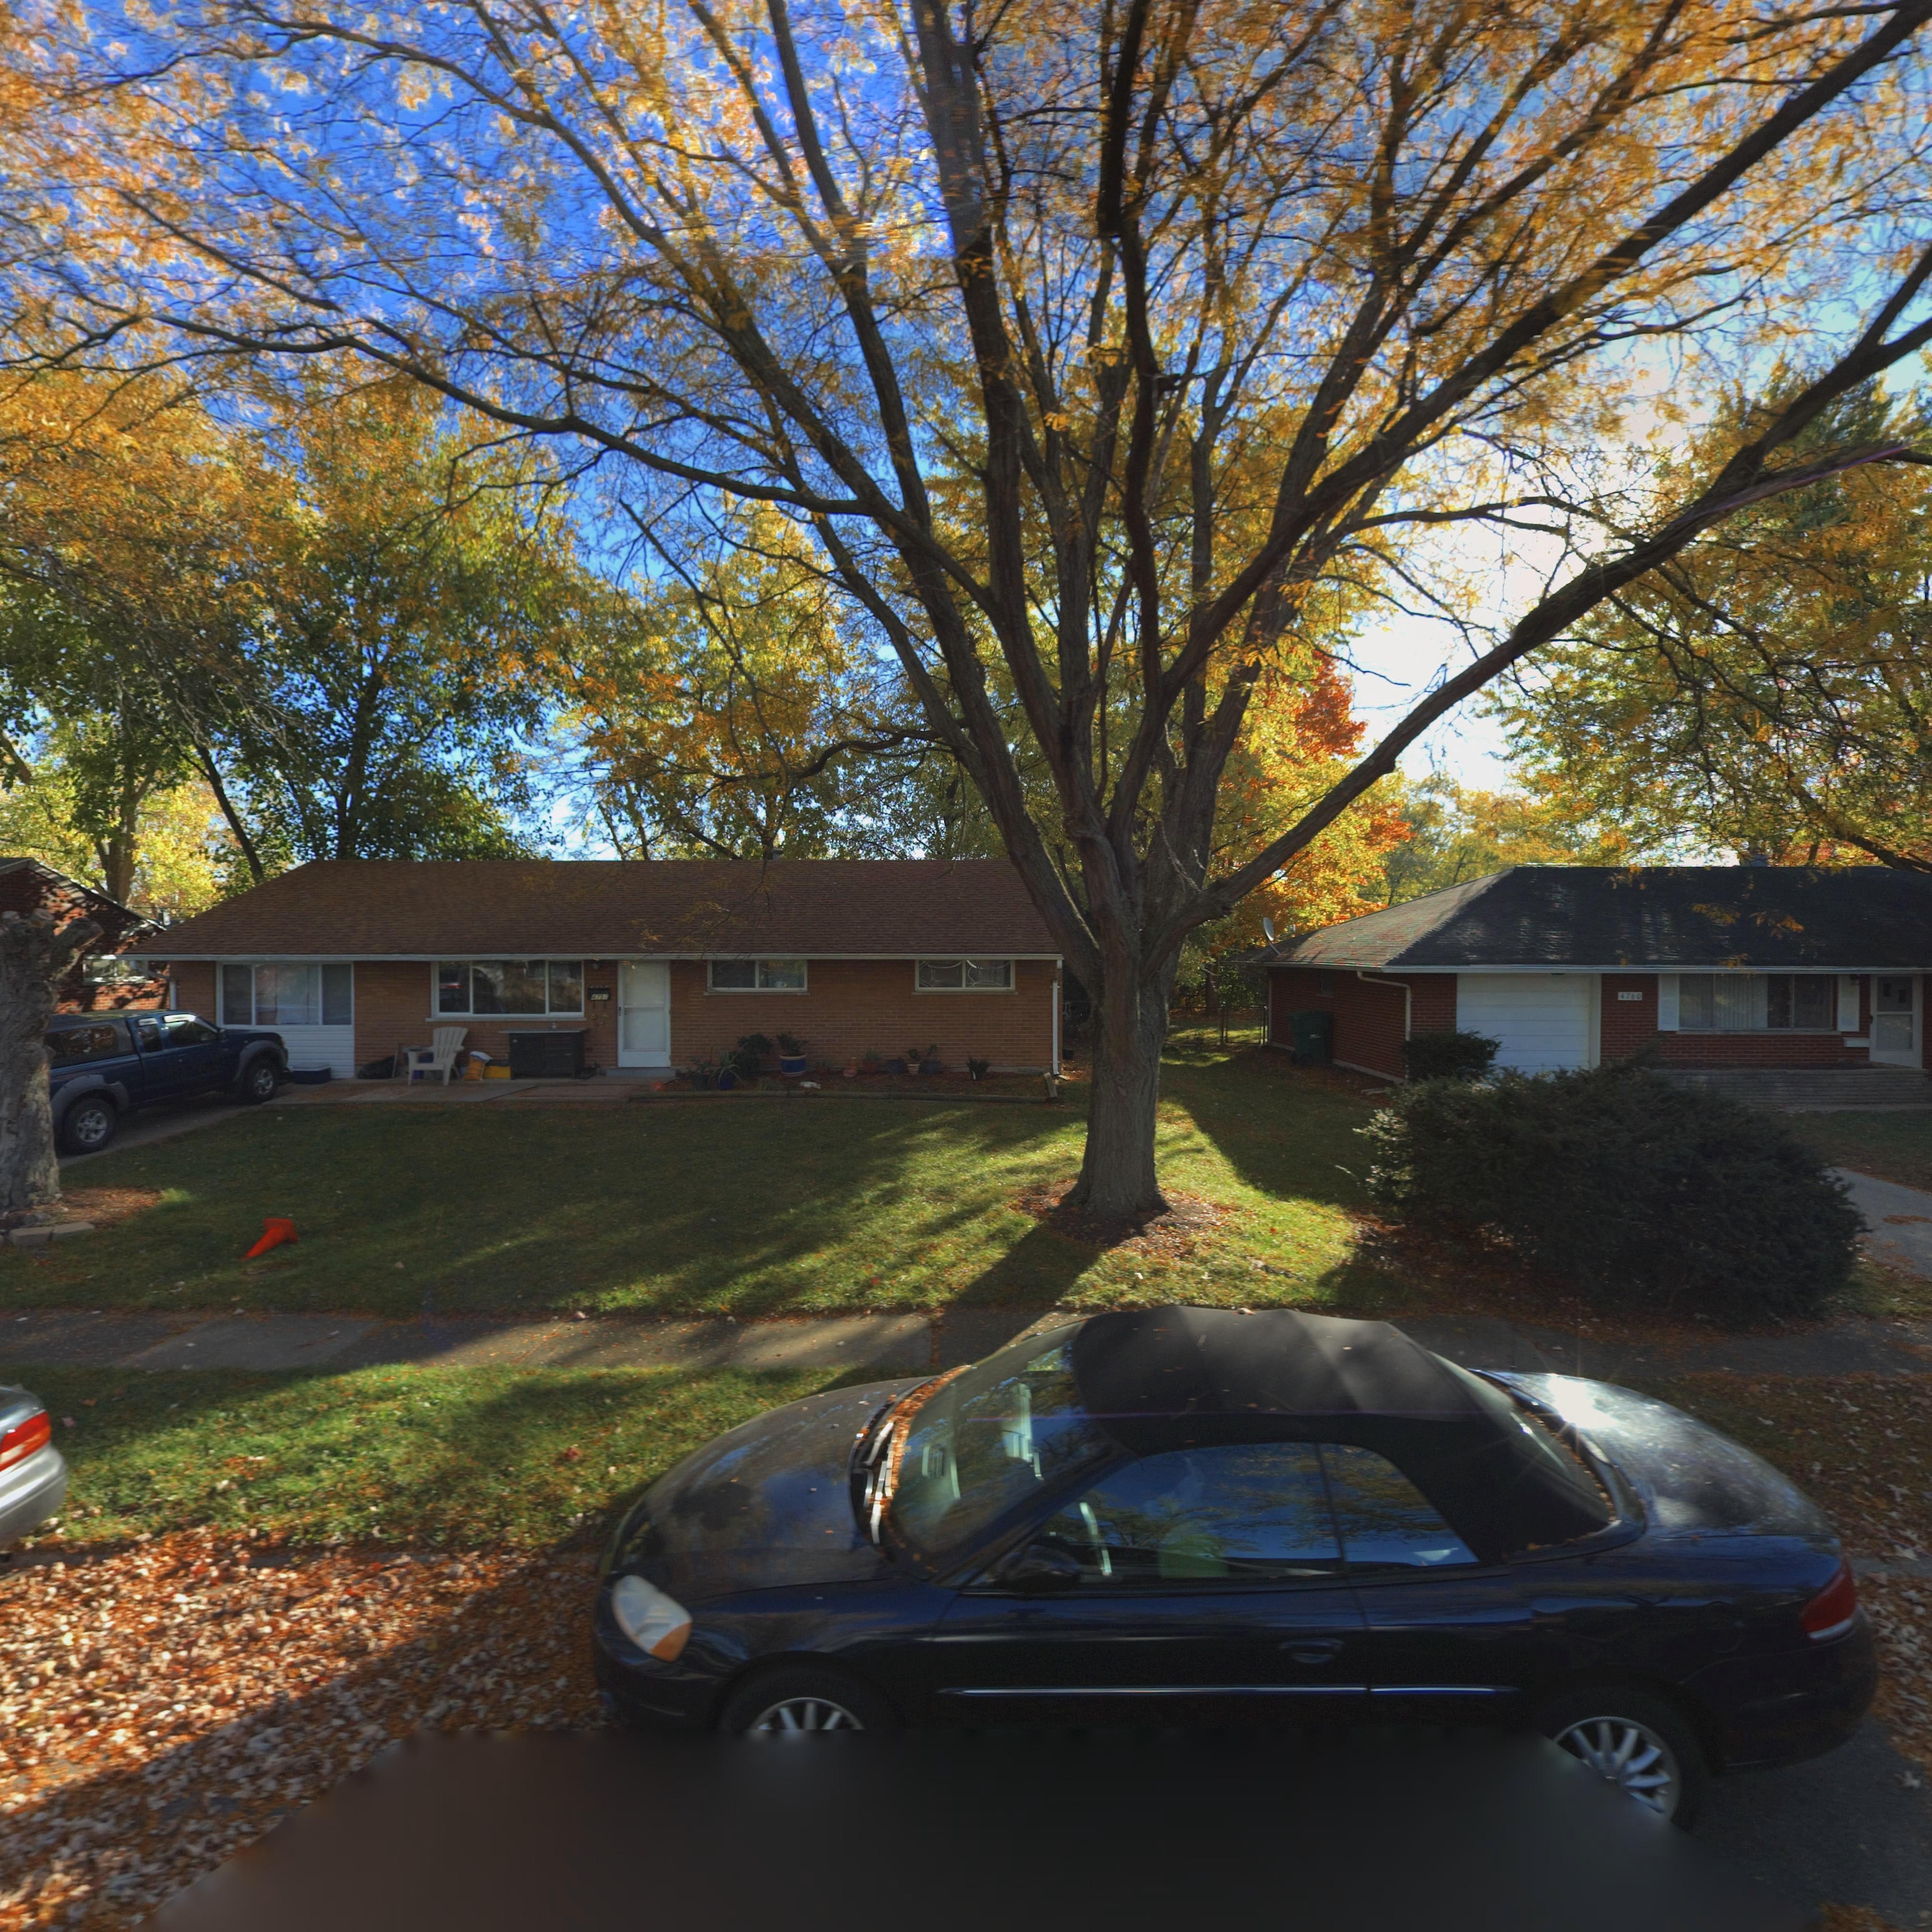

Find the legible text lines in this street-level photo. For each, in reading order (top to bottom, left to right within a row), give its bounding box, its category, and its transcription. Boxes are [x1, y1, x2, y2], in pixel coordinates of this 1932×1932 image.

[591, 994, 609, 1000] StreetNumber: 4750
[1619, 992, 1641, 1000] StreetNumber: 4760